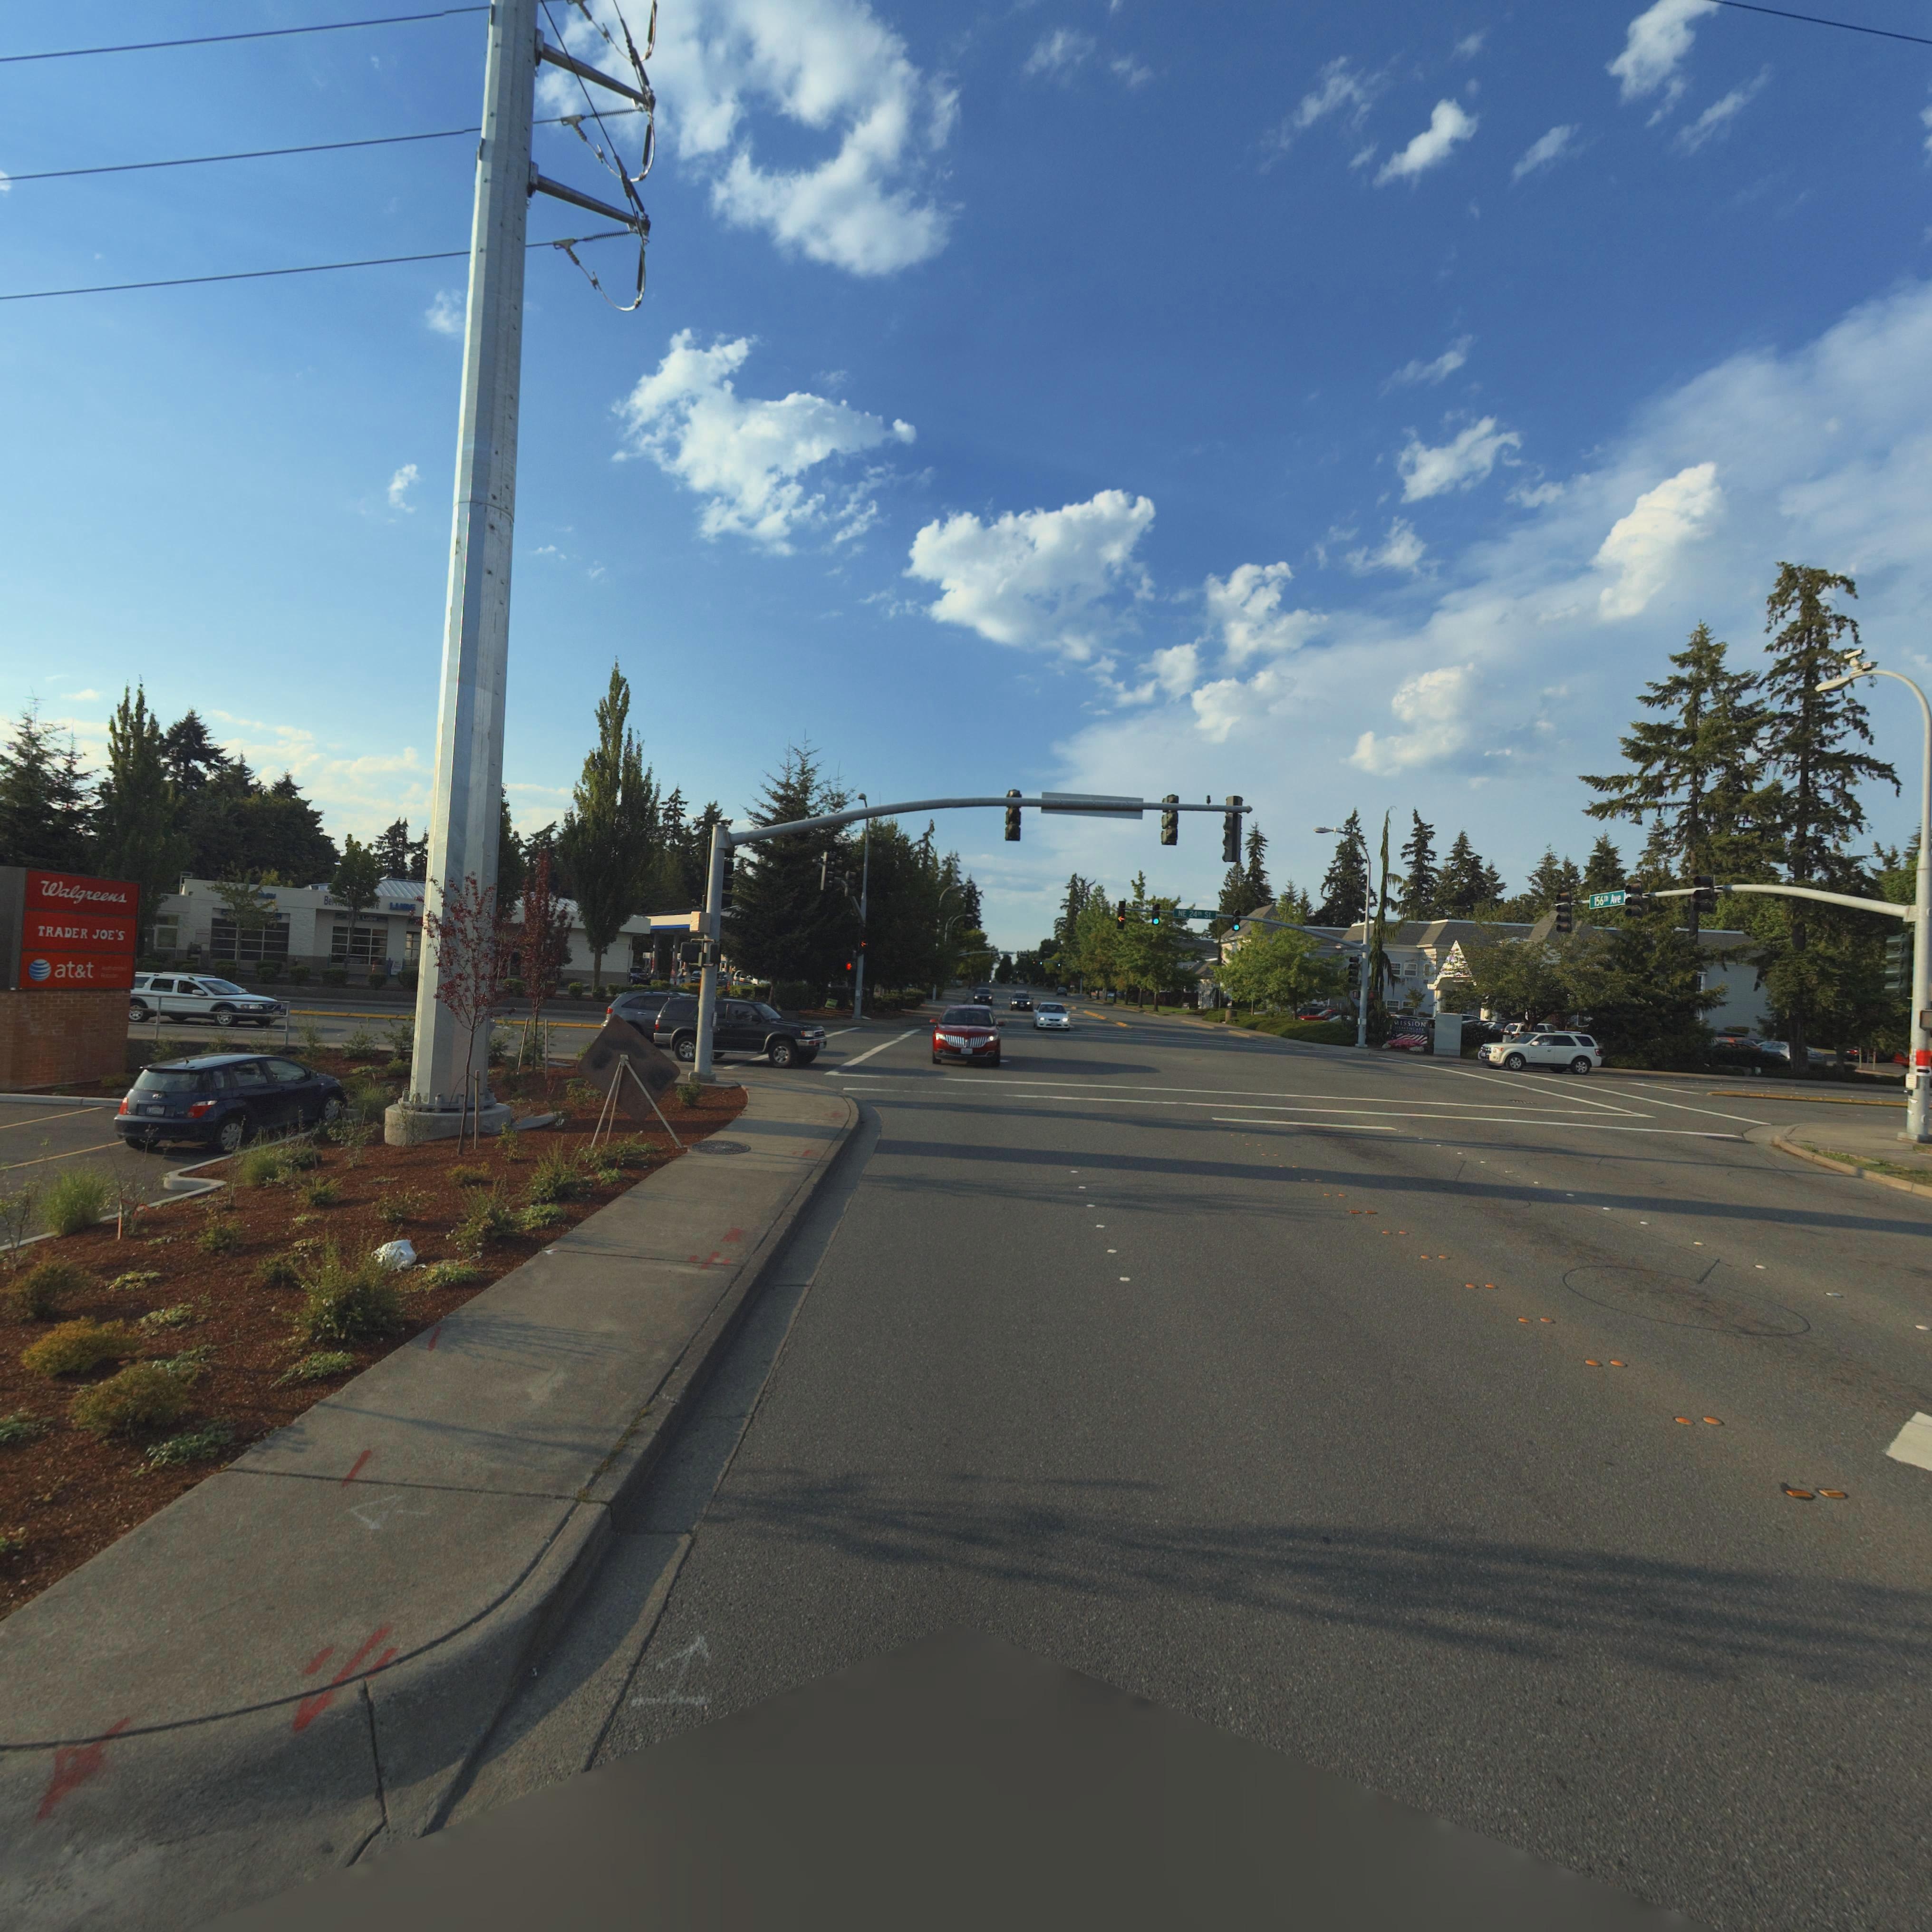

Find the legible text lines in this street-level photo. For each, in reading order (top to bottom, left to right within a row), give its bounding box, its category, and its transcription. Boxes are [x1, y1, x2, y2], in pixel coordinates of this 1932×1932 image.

[39, 879, 129, 904] BusinessName: Walgreens
[1593, 892, 1622, 907] StreetName: 156th Ave
[1178, 909, 1212, 918] StreetName: NE 24th St
[37, 924, 127, 940] BusinessName: TRADER JOE'S
[54, 960, 94, 981] BusinessName: at*t
[1393, 1025, 1424, 1032] BusinessName: HEALTHCARE